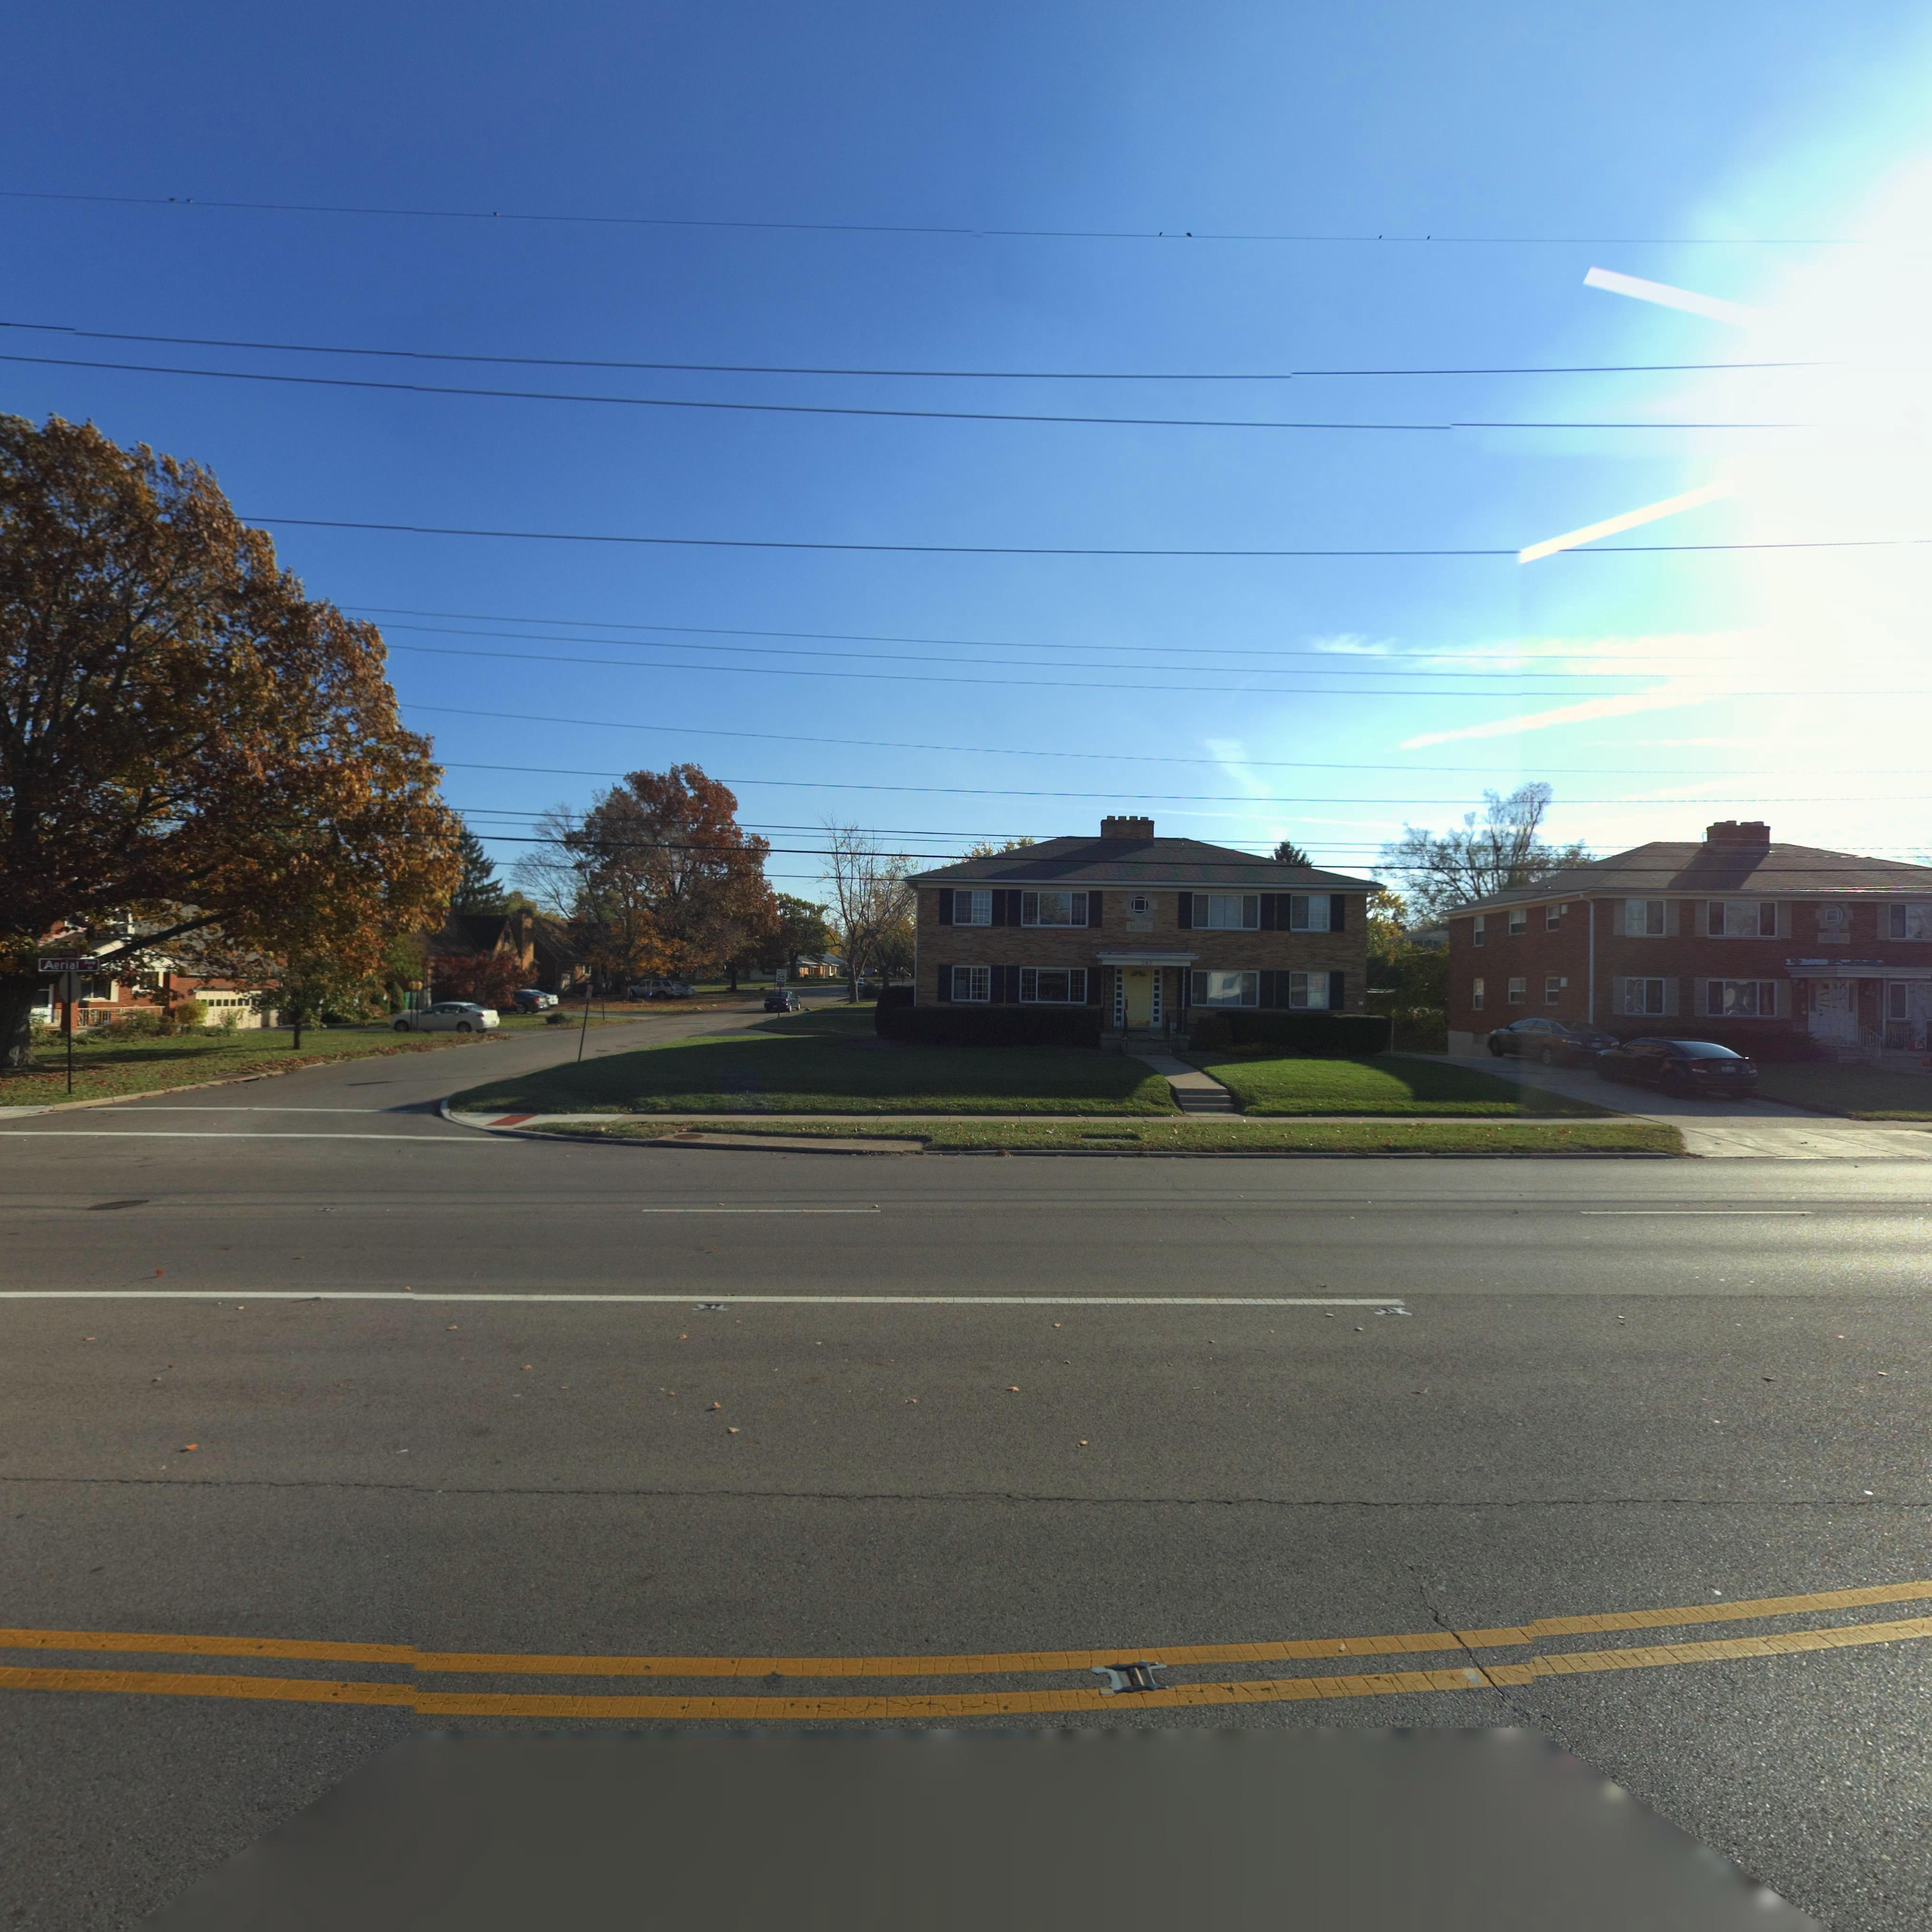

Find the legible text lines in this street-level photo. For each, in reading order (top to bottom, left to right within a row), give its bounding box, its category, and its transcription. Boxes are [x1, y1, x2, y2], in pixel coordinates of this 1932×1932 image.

[42, 959, 80, 970] StreetName: Aerial
[1140, 960, 1152, 966] StreetNumber: 542